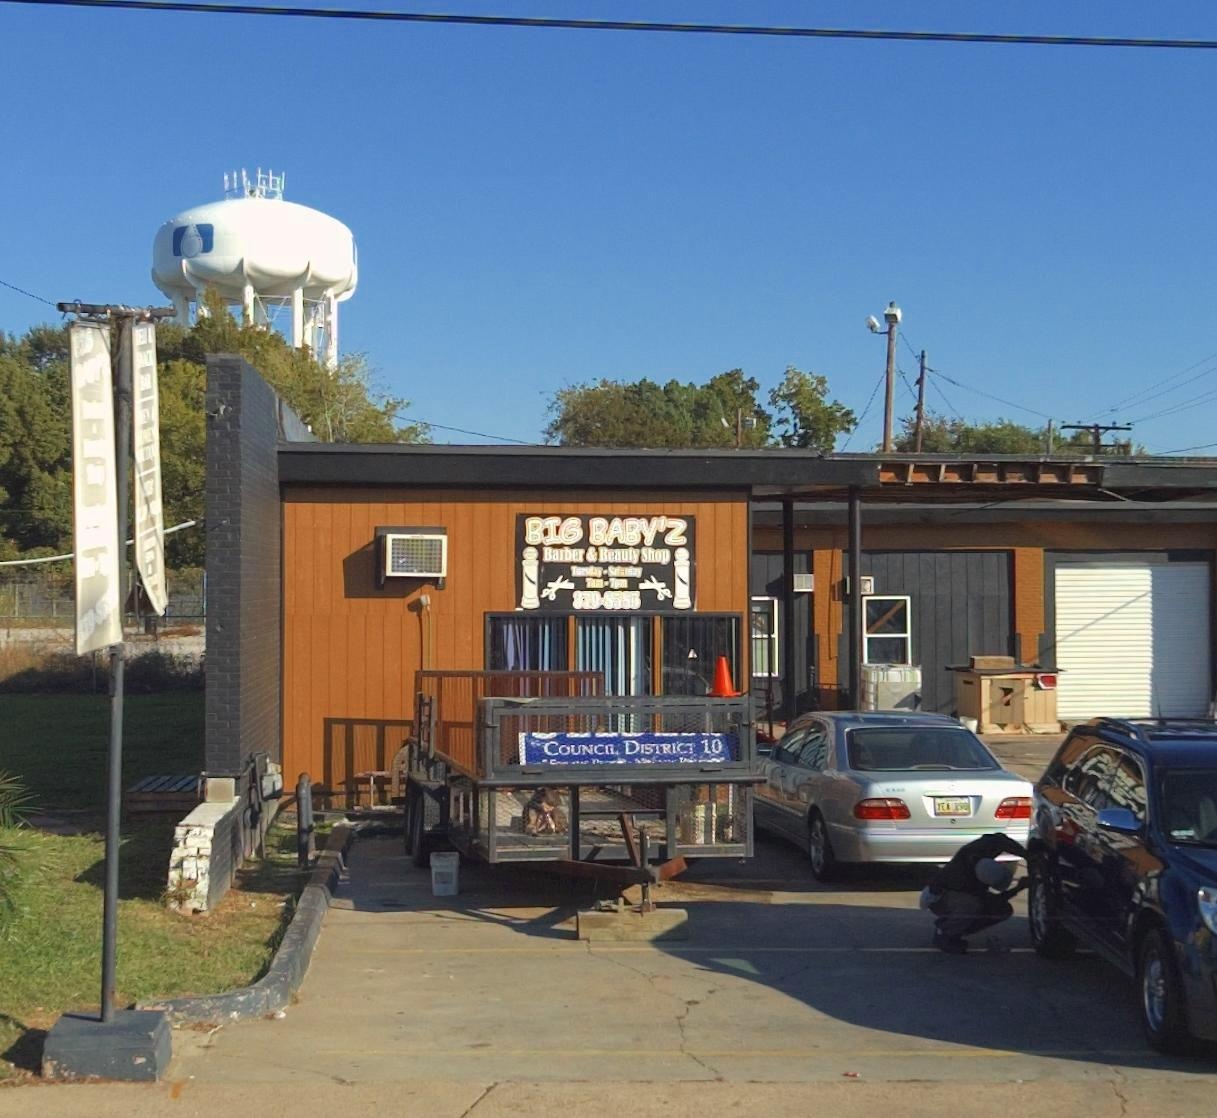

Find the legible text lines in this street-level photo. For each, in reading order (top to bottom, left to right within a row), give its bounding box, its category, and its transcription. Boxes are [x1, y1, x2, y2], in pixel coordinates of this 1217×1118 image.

[522, 514, 691, 547] BusinessName: BIG BABY'Z
[540, 544, 671, 564] BusinessName: Barber & Beauty Shop
[566, 562, 645, 578] None: Tuesday-Saturday
[583, 576, 627, 590] None: 7am-7pm
[570, 588, 641, 609] None: 3*9-85**
[540, 737, 725, 757] None: COUNCIL DISTRICT 10